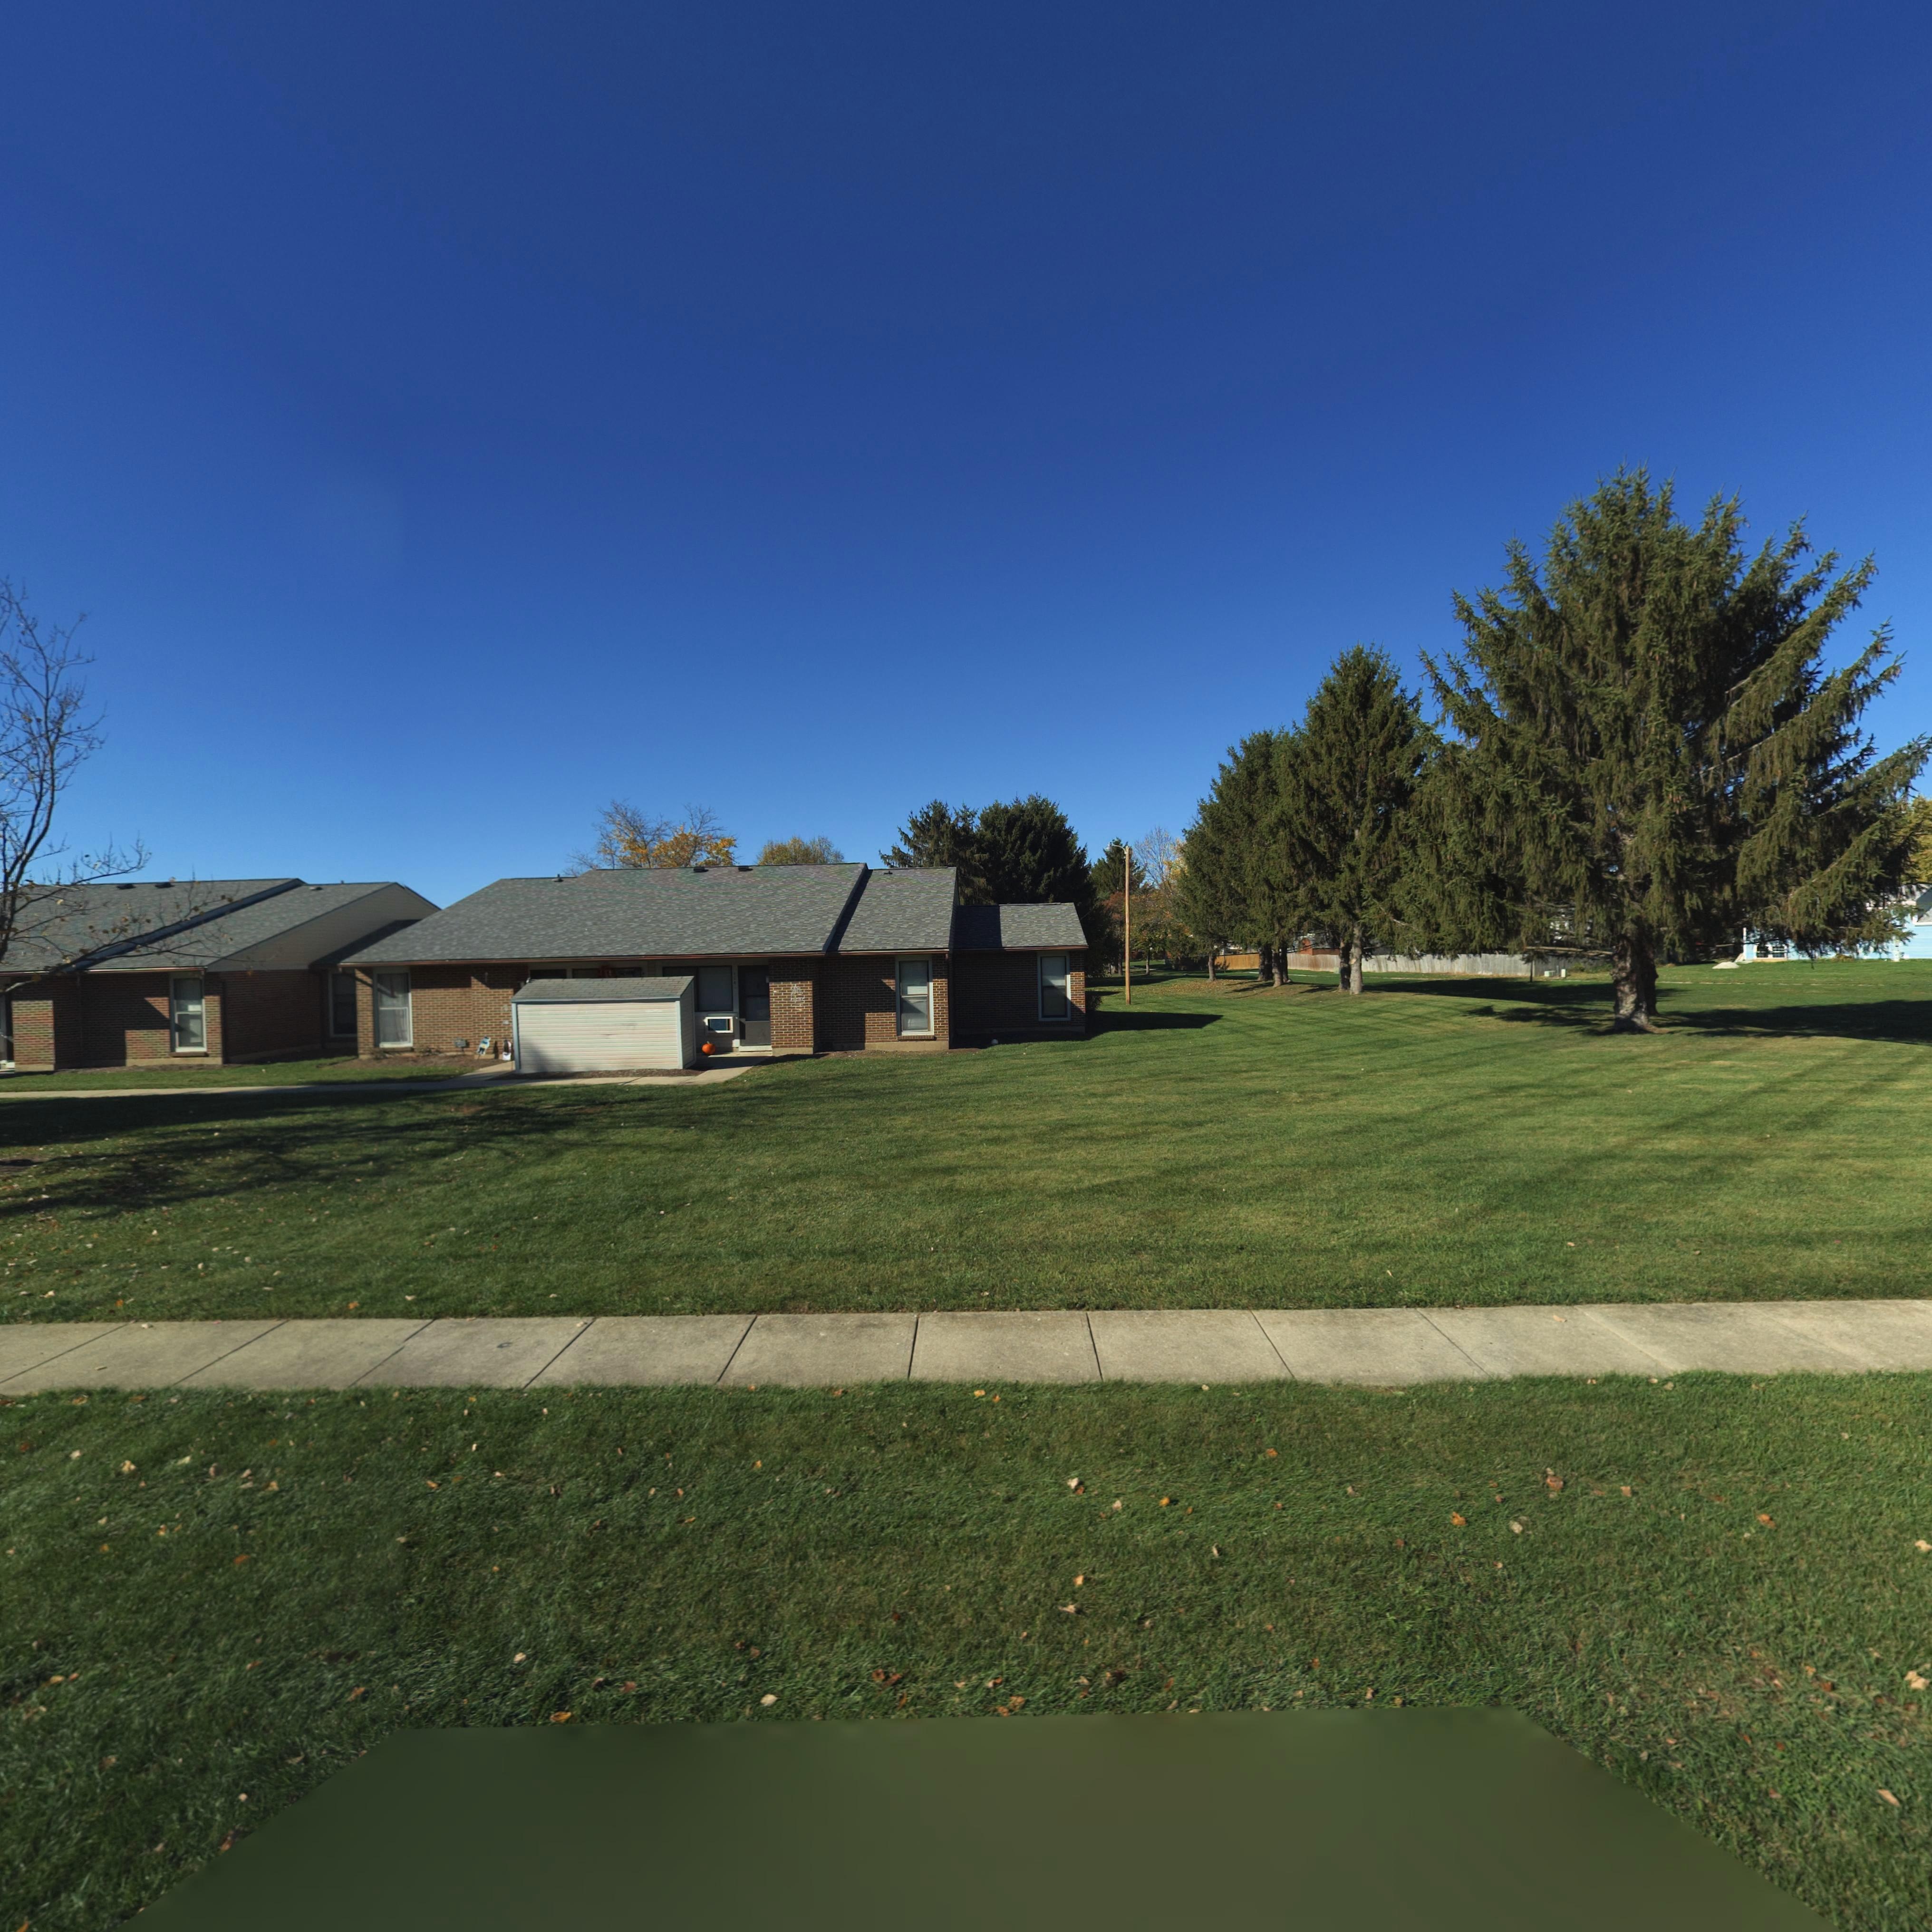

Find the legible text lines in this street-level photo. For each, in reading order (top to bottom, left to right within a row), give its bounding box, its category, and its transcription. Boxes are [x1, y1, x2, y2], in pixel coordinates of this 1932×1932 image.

[733, 972, 736, 985] StreetNumber: 10*